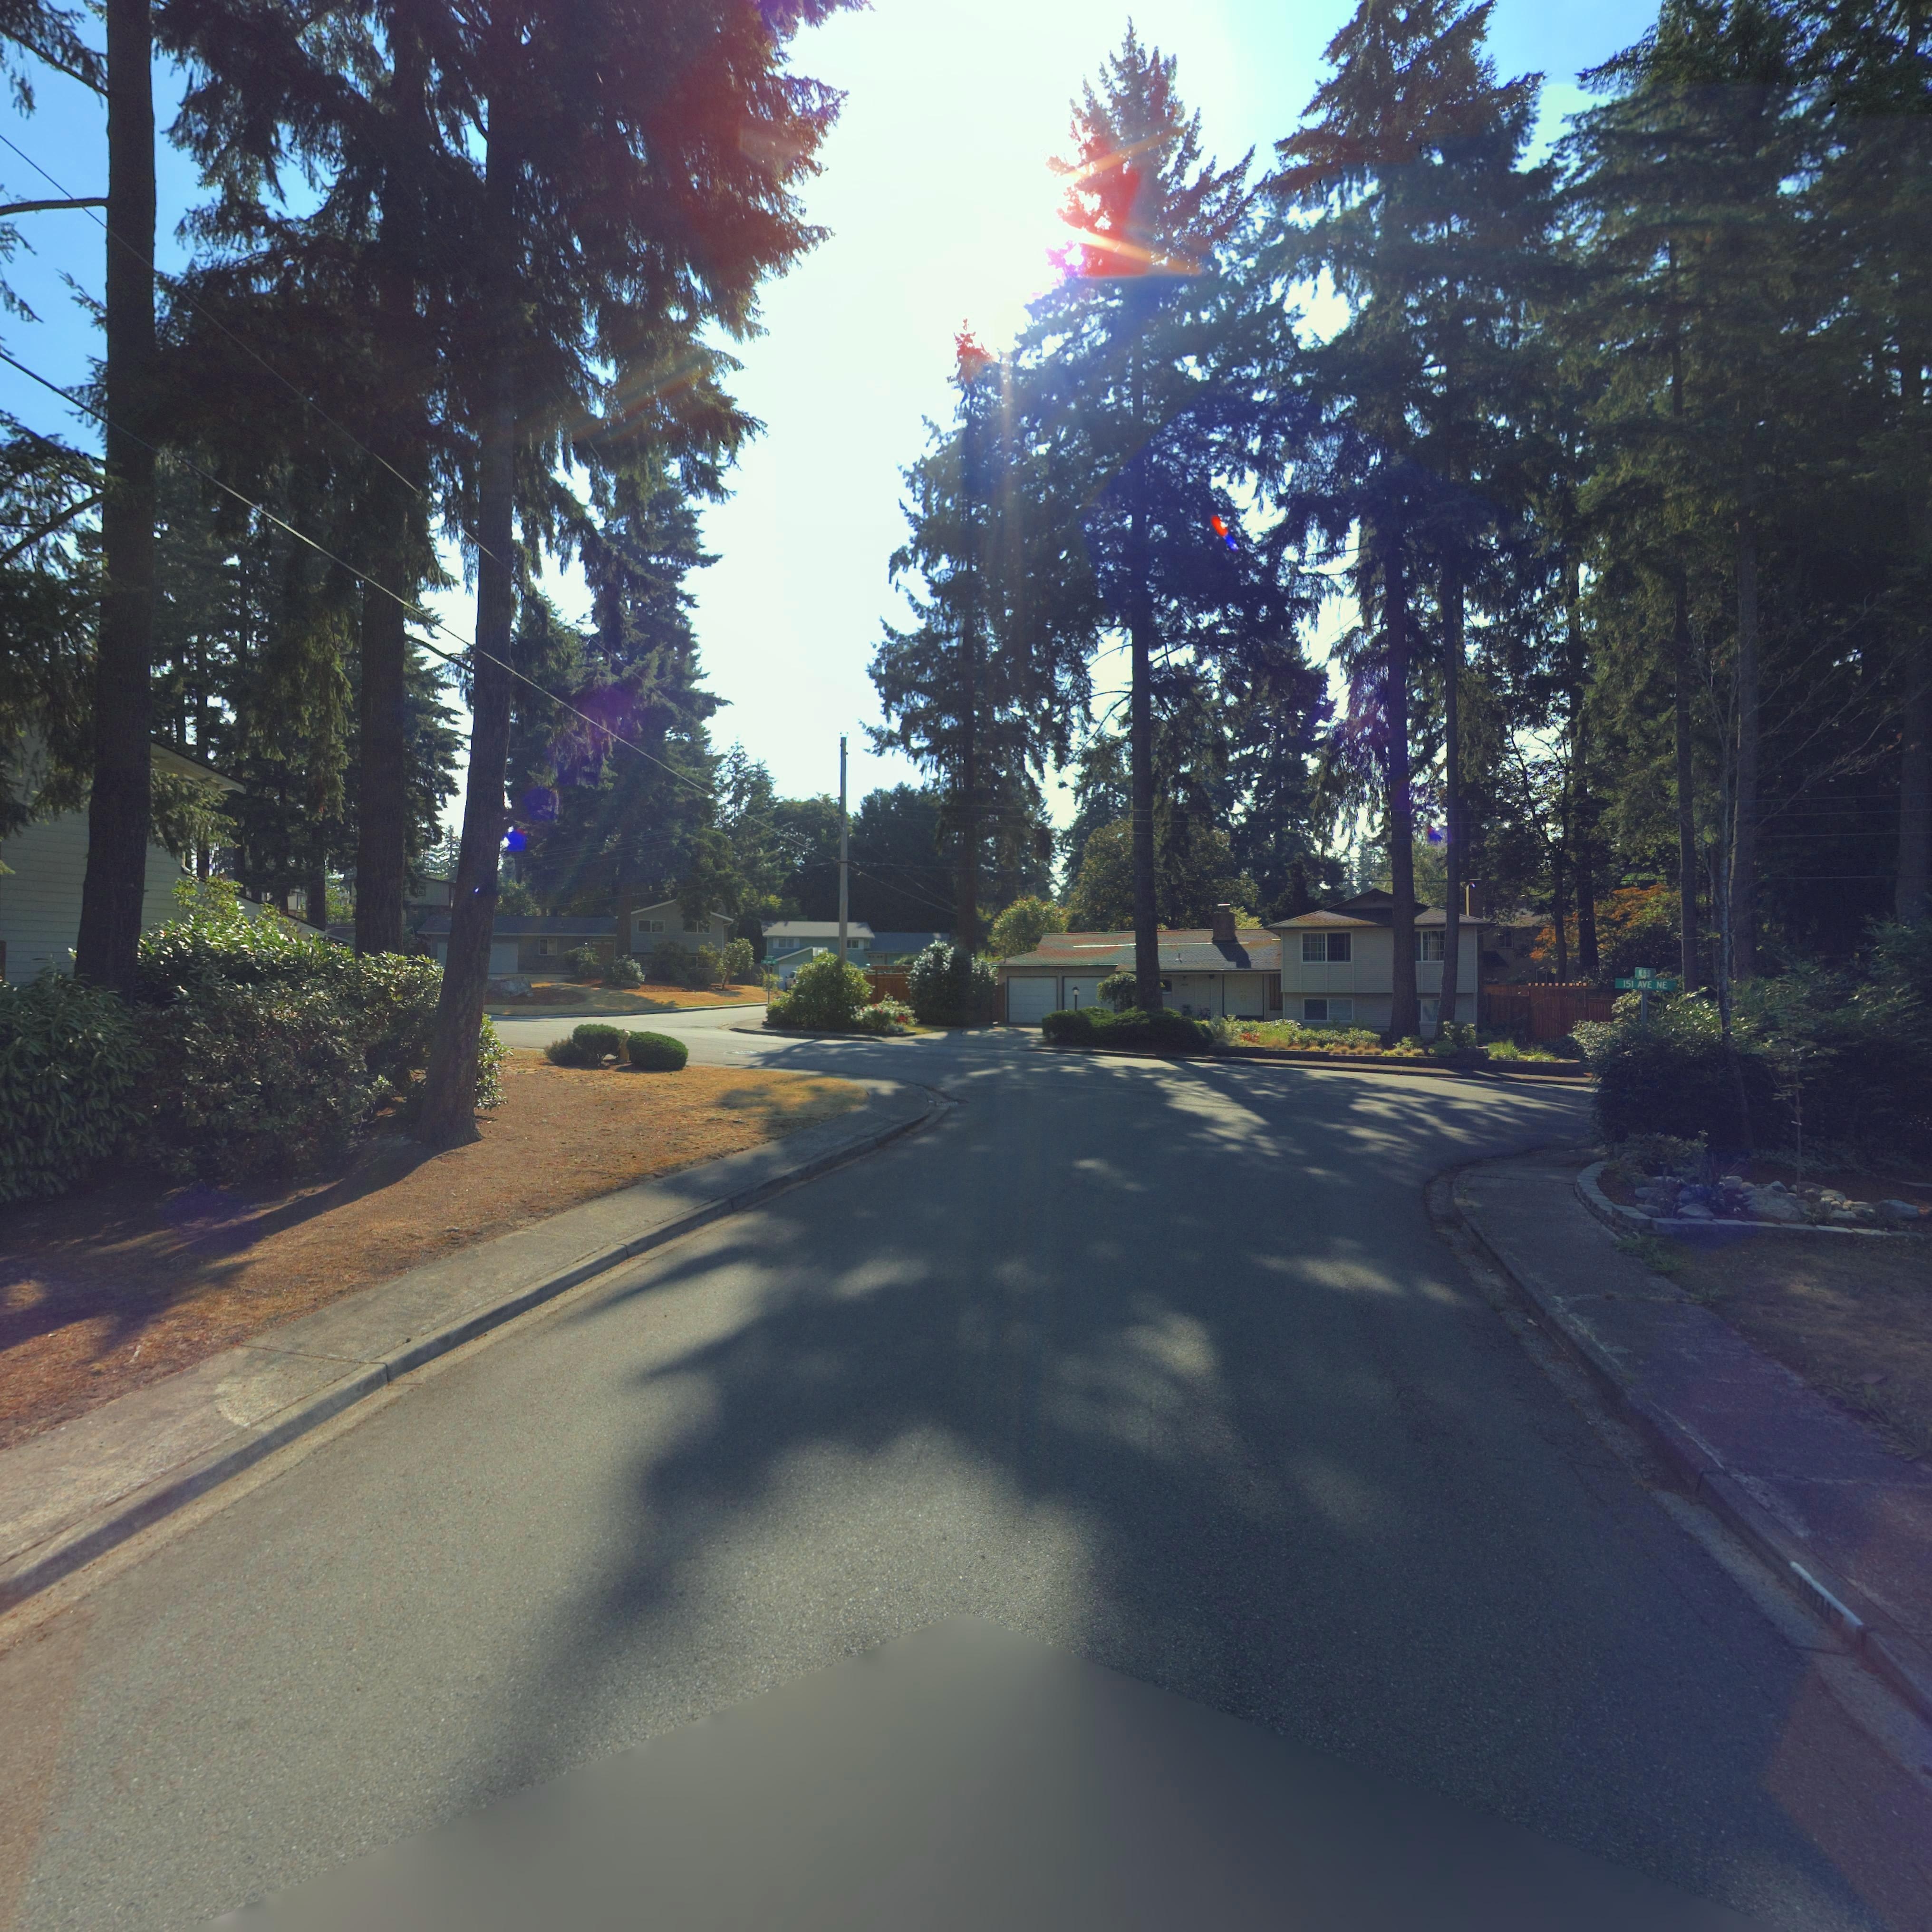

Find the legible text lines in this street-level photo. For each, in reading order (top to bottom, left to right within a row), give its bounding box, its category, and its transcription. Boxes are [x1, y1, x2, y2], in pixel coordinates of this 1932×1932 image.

[1624, 980, 1666, 988] StreetName: 151 AVE NE